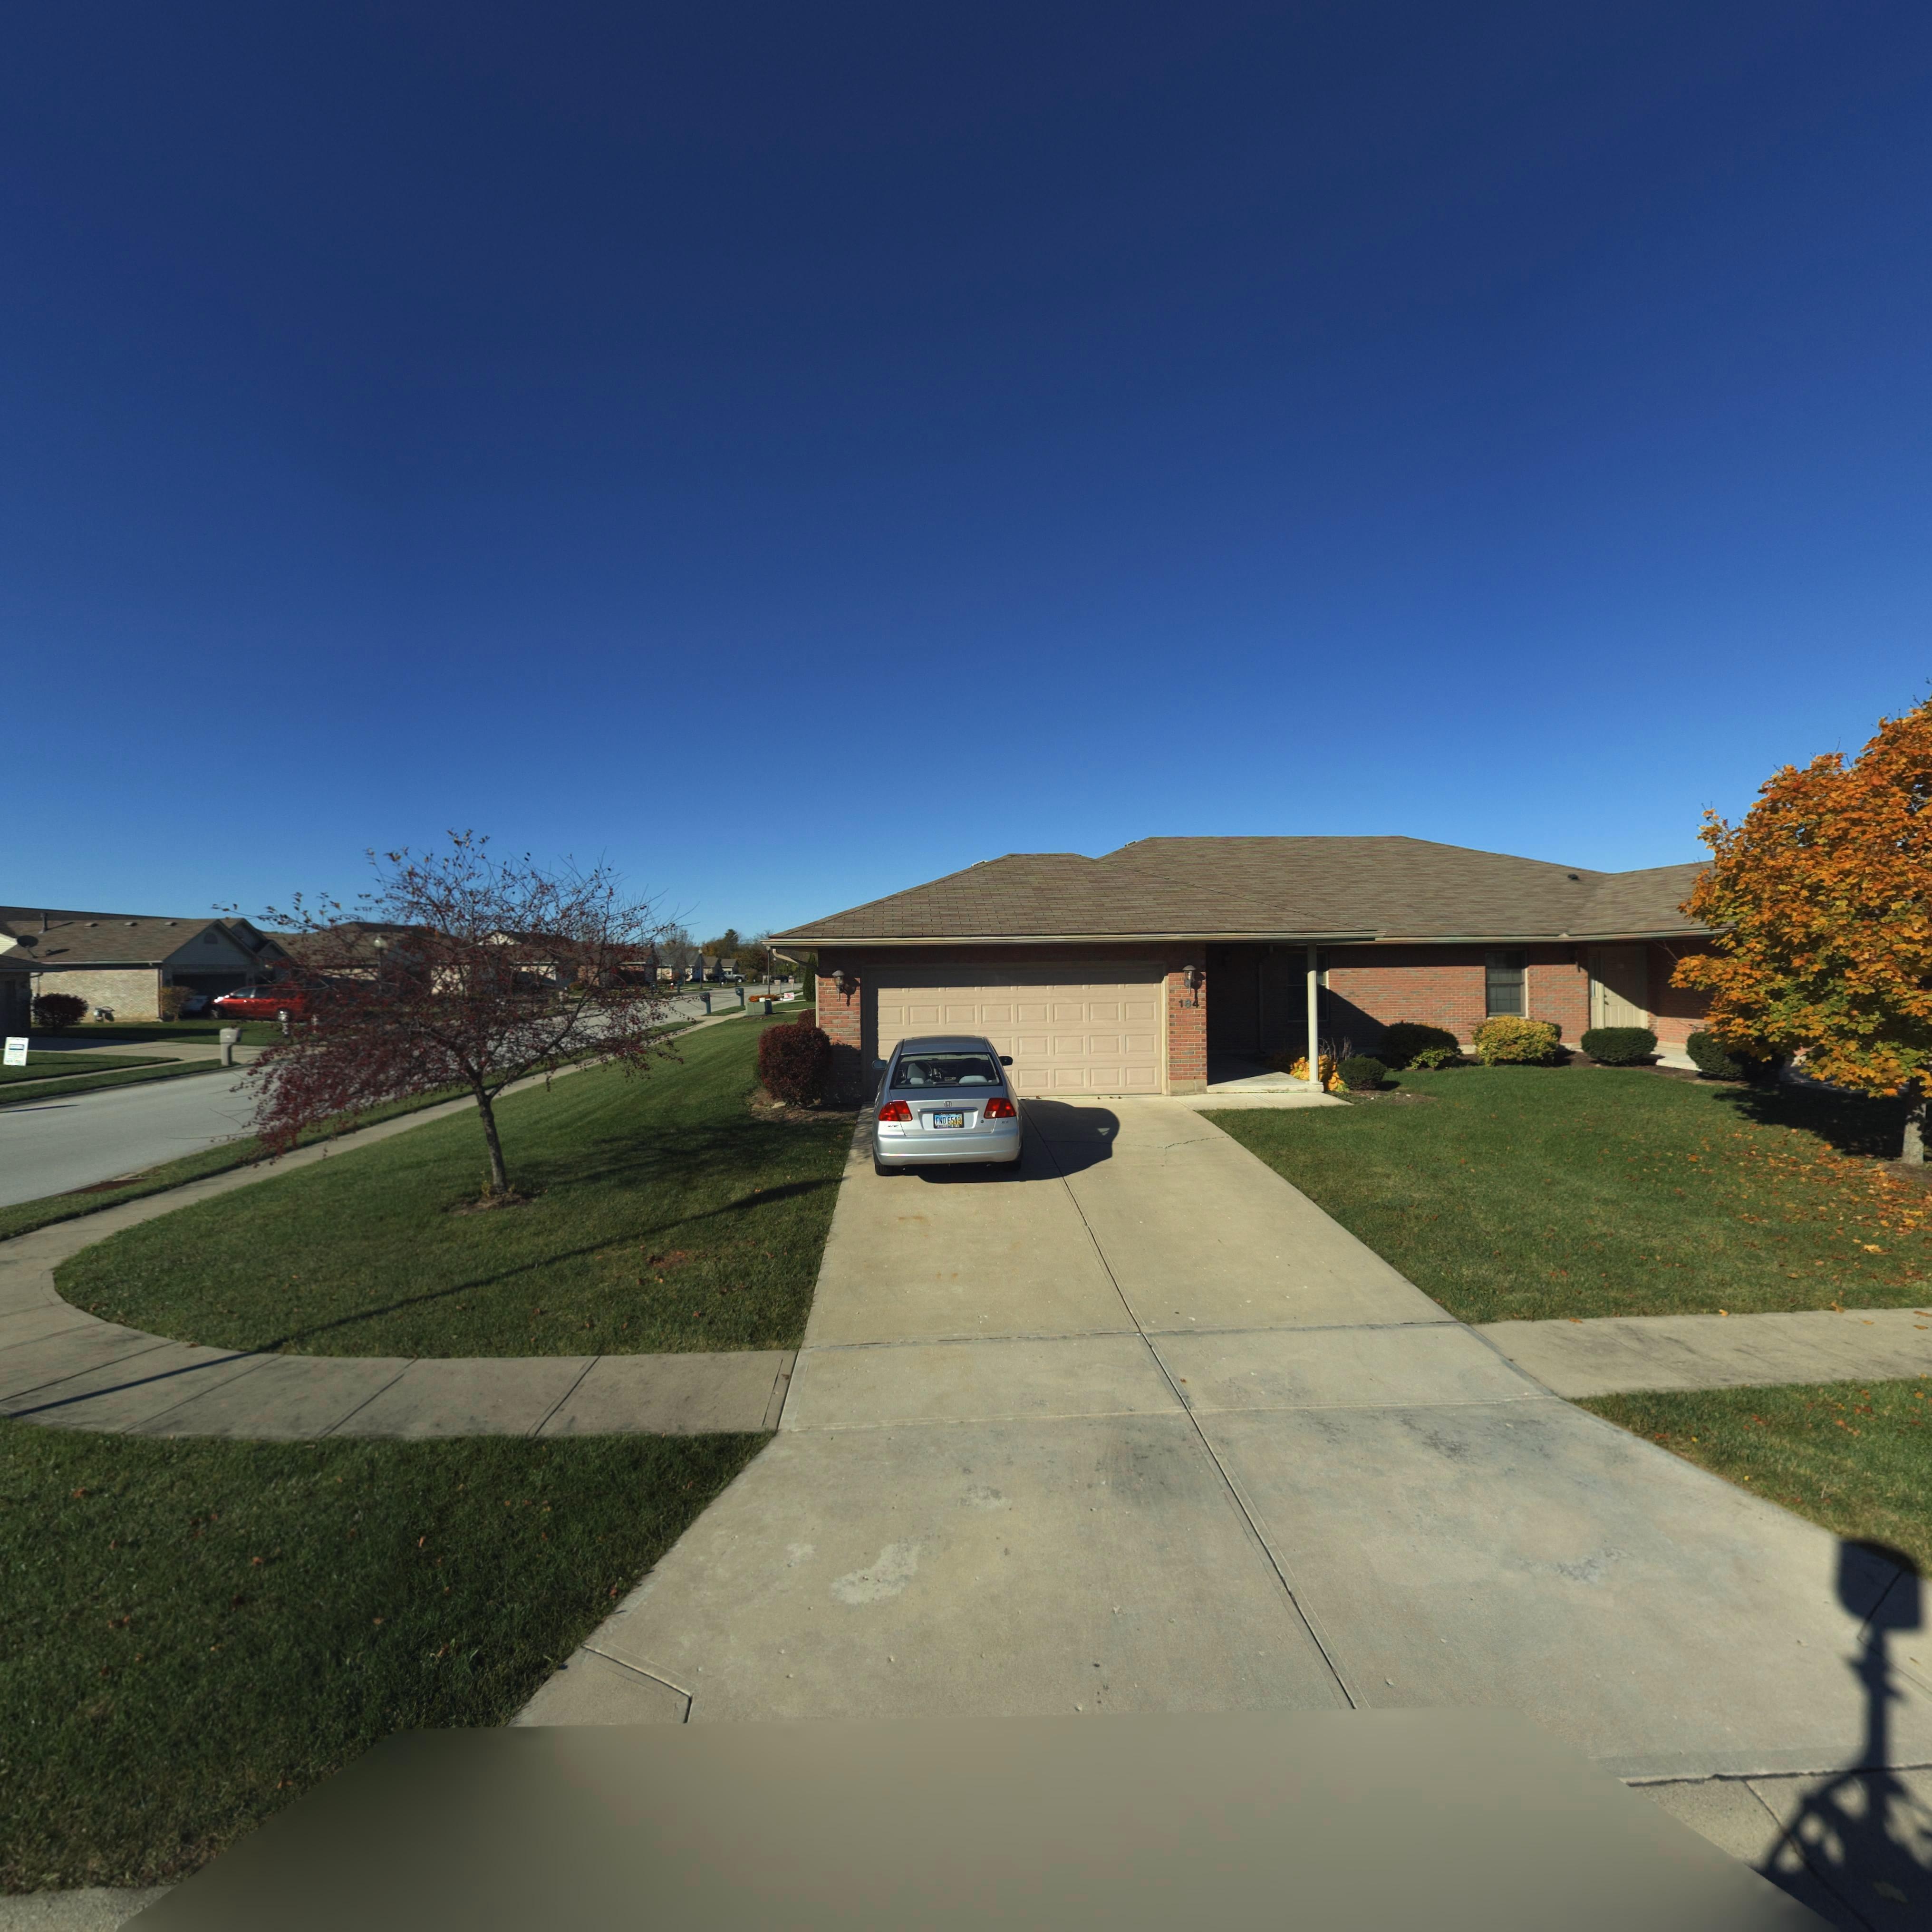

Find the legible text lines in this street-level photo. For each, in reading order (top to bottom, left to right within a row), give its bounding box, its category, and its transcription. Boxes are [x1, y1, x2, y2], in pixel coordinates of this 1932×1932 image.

[1178, 998, 1200, 1009] StreetNumber: 184